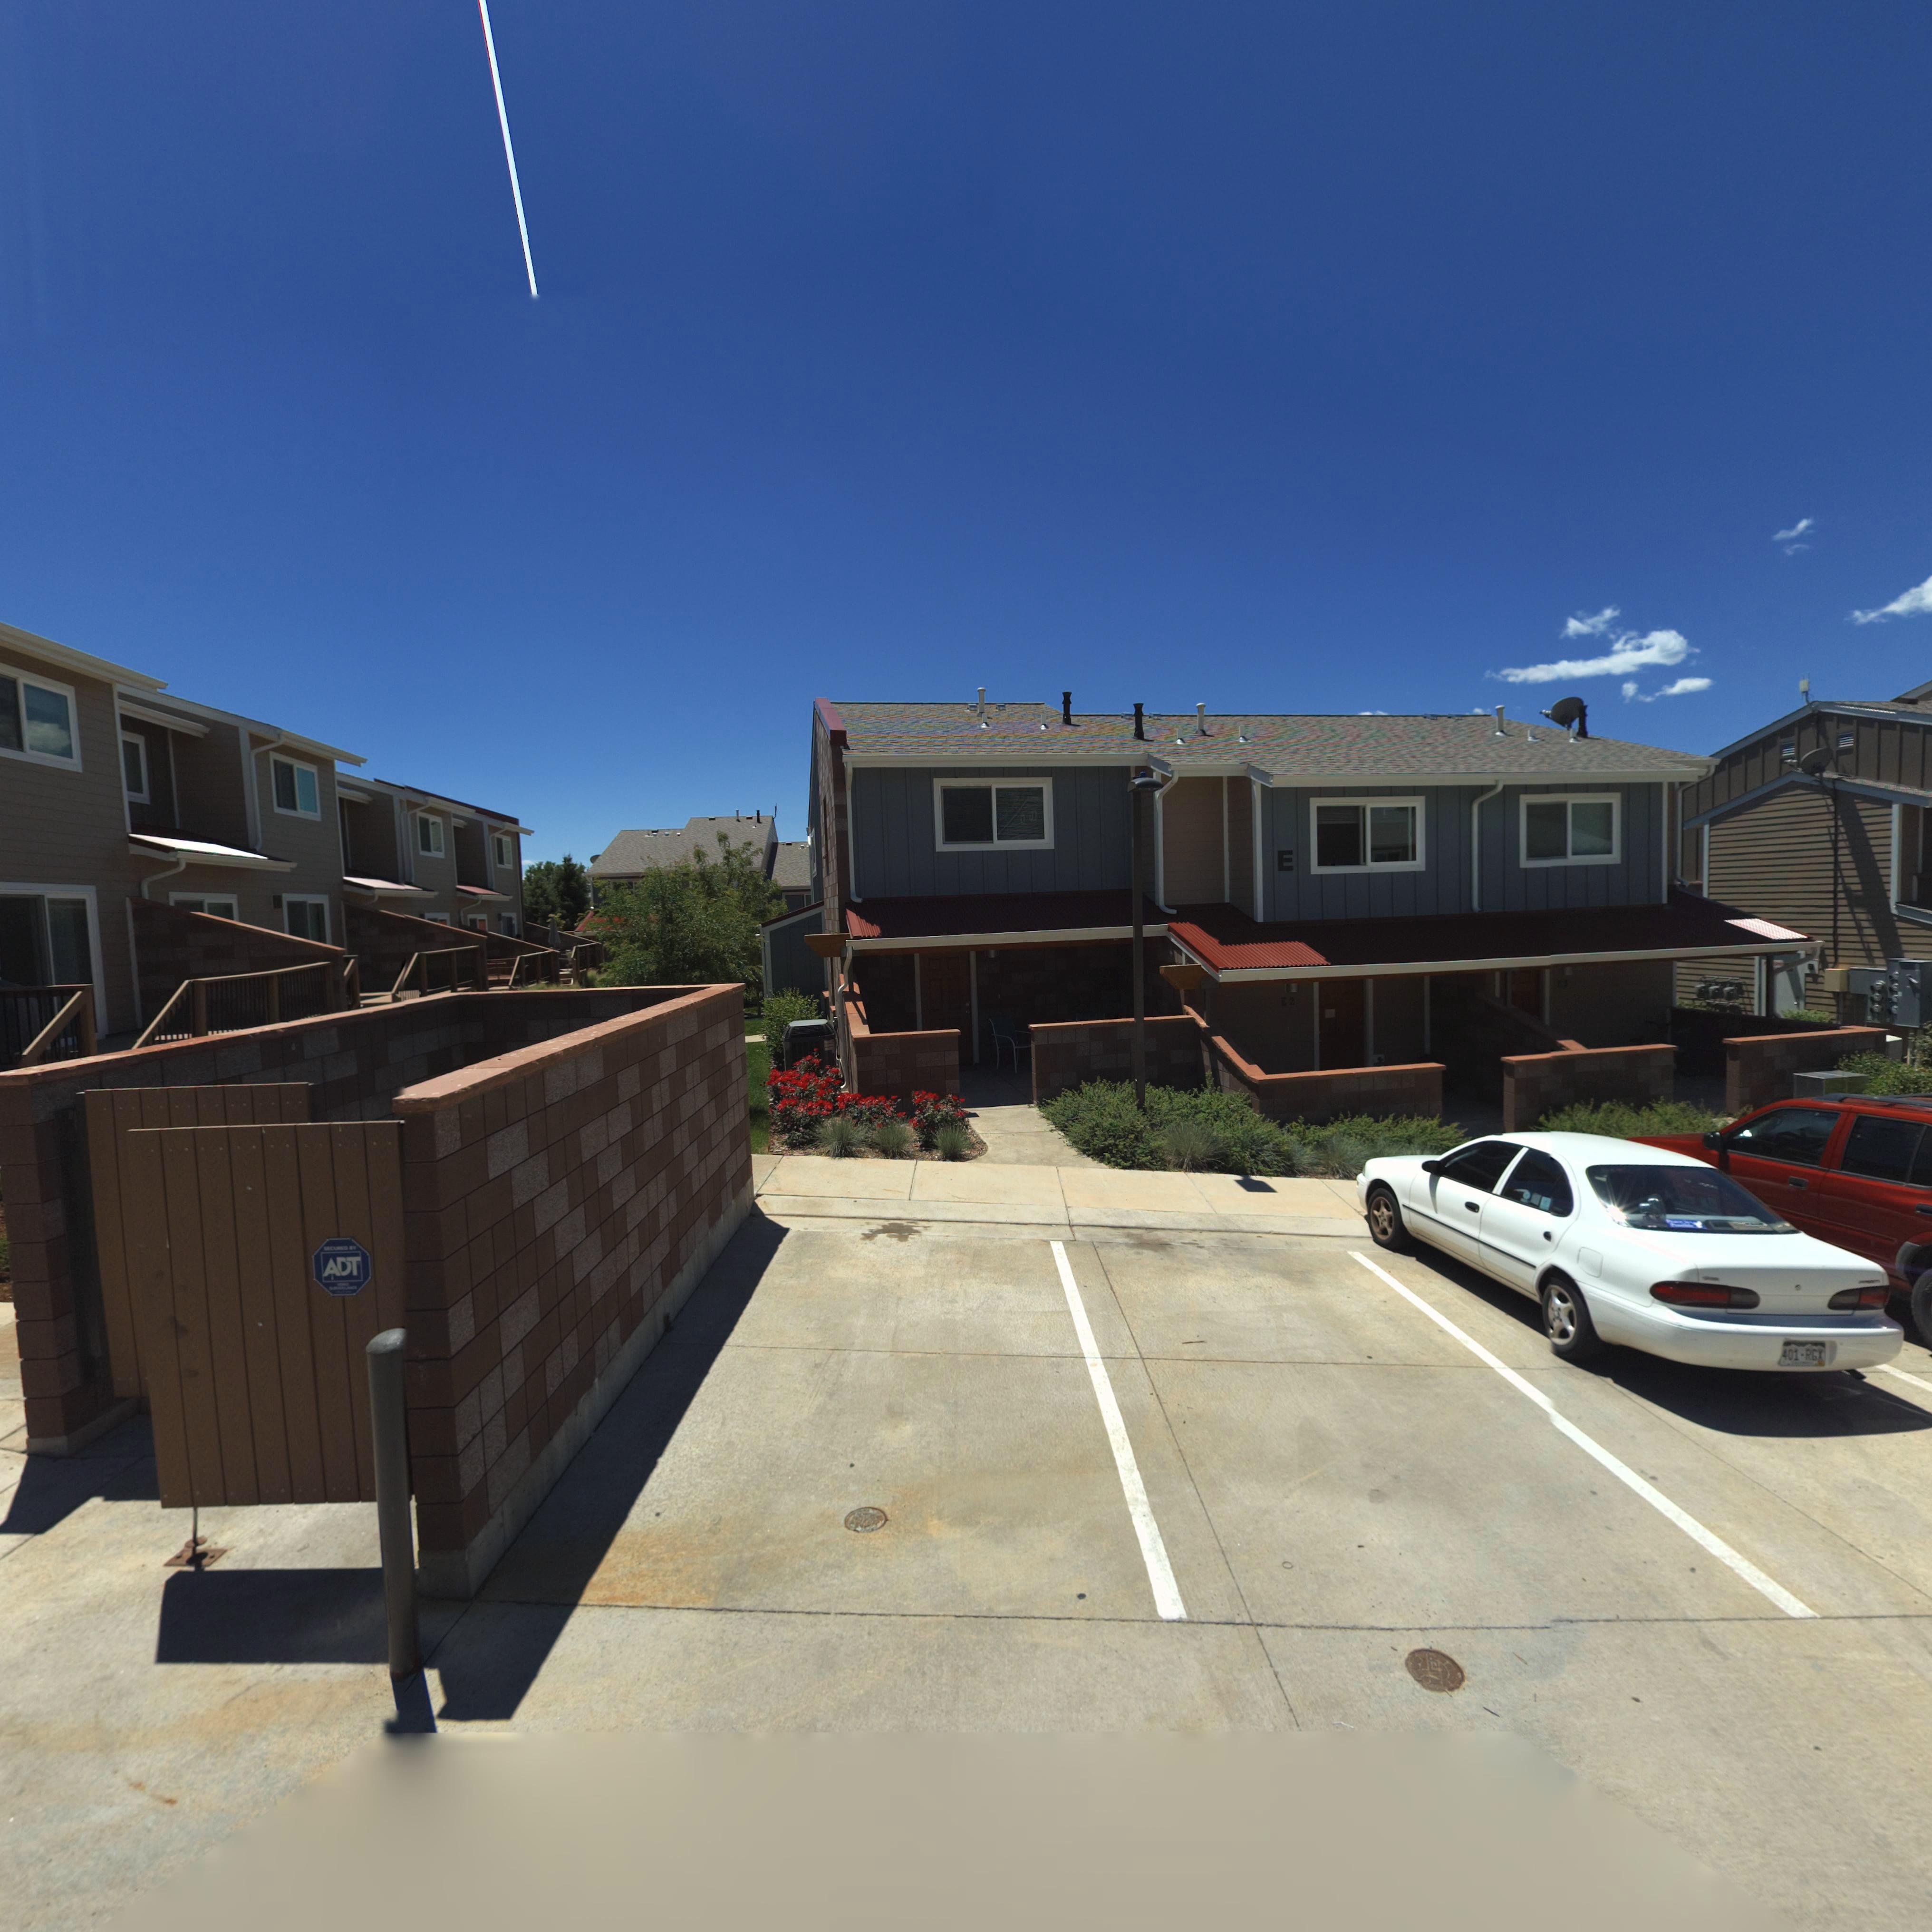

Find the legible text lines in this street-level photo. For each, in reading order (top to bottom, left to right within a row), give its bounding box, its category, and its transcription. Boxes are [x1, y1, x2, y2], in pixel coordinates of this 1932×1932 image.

[1277, 849, 1294, 871] StreetNumber: E
[1556, 978, 1568, 988] StreetNumber: E3
[1280, 996, 1296, 1006] StreetNumber: E2